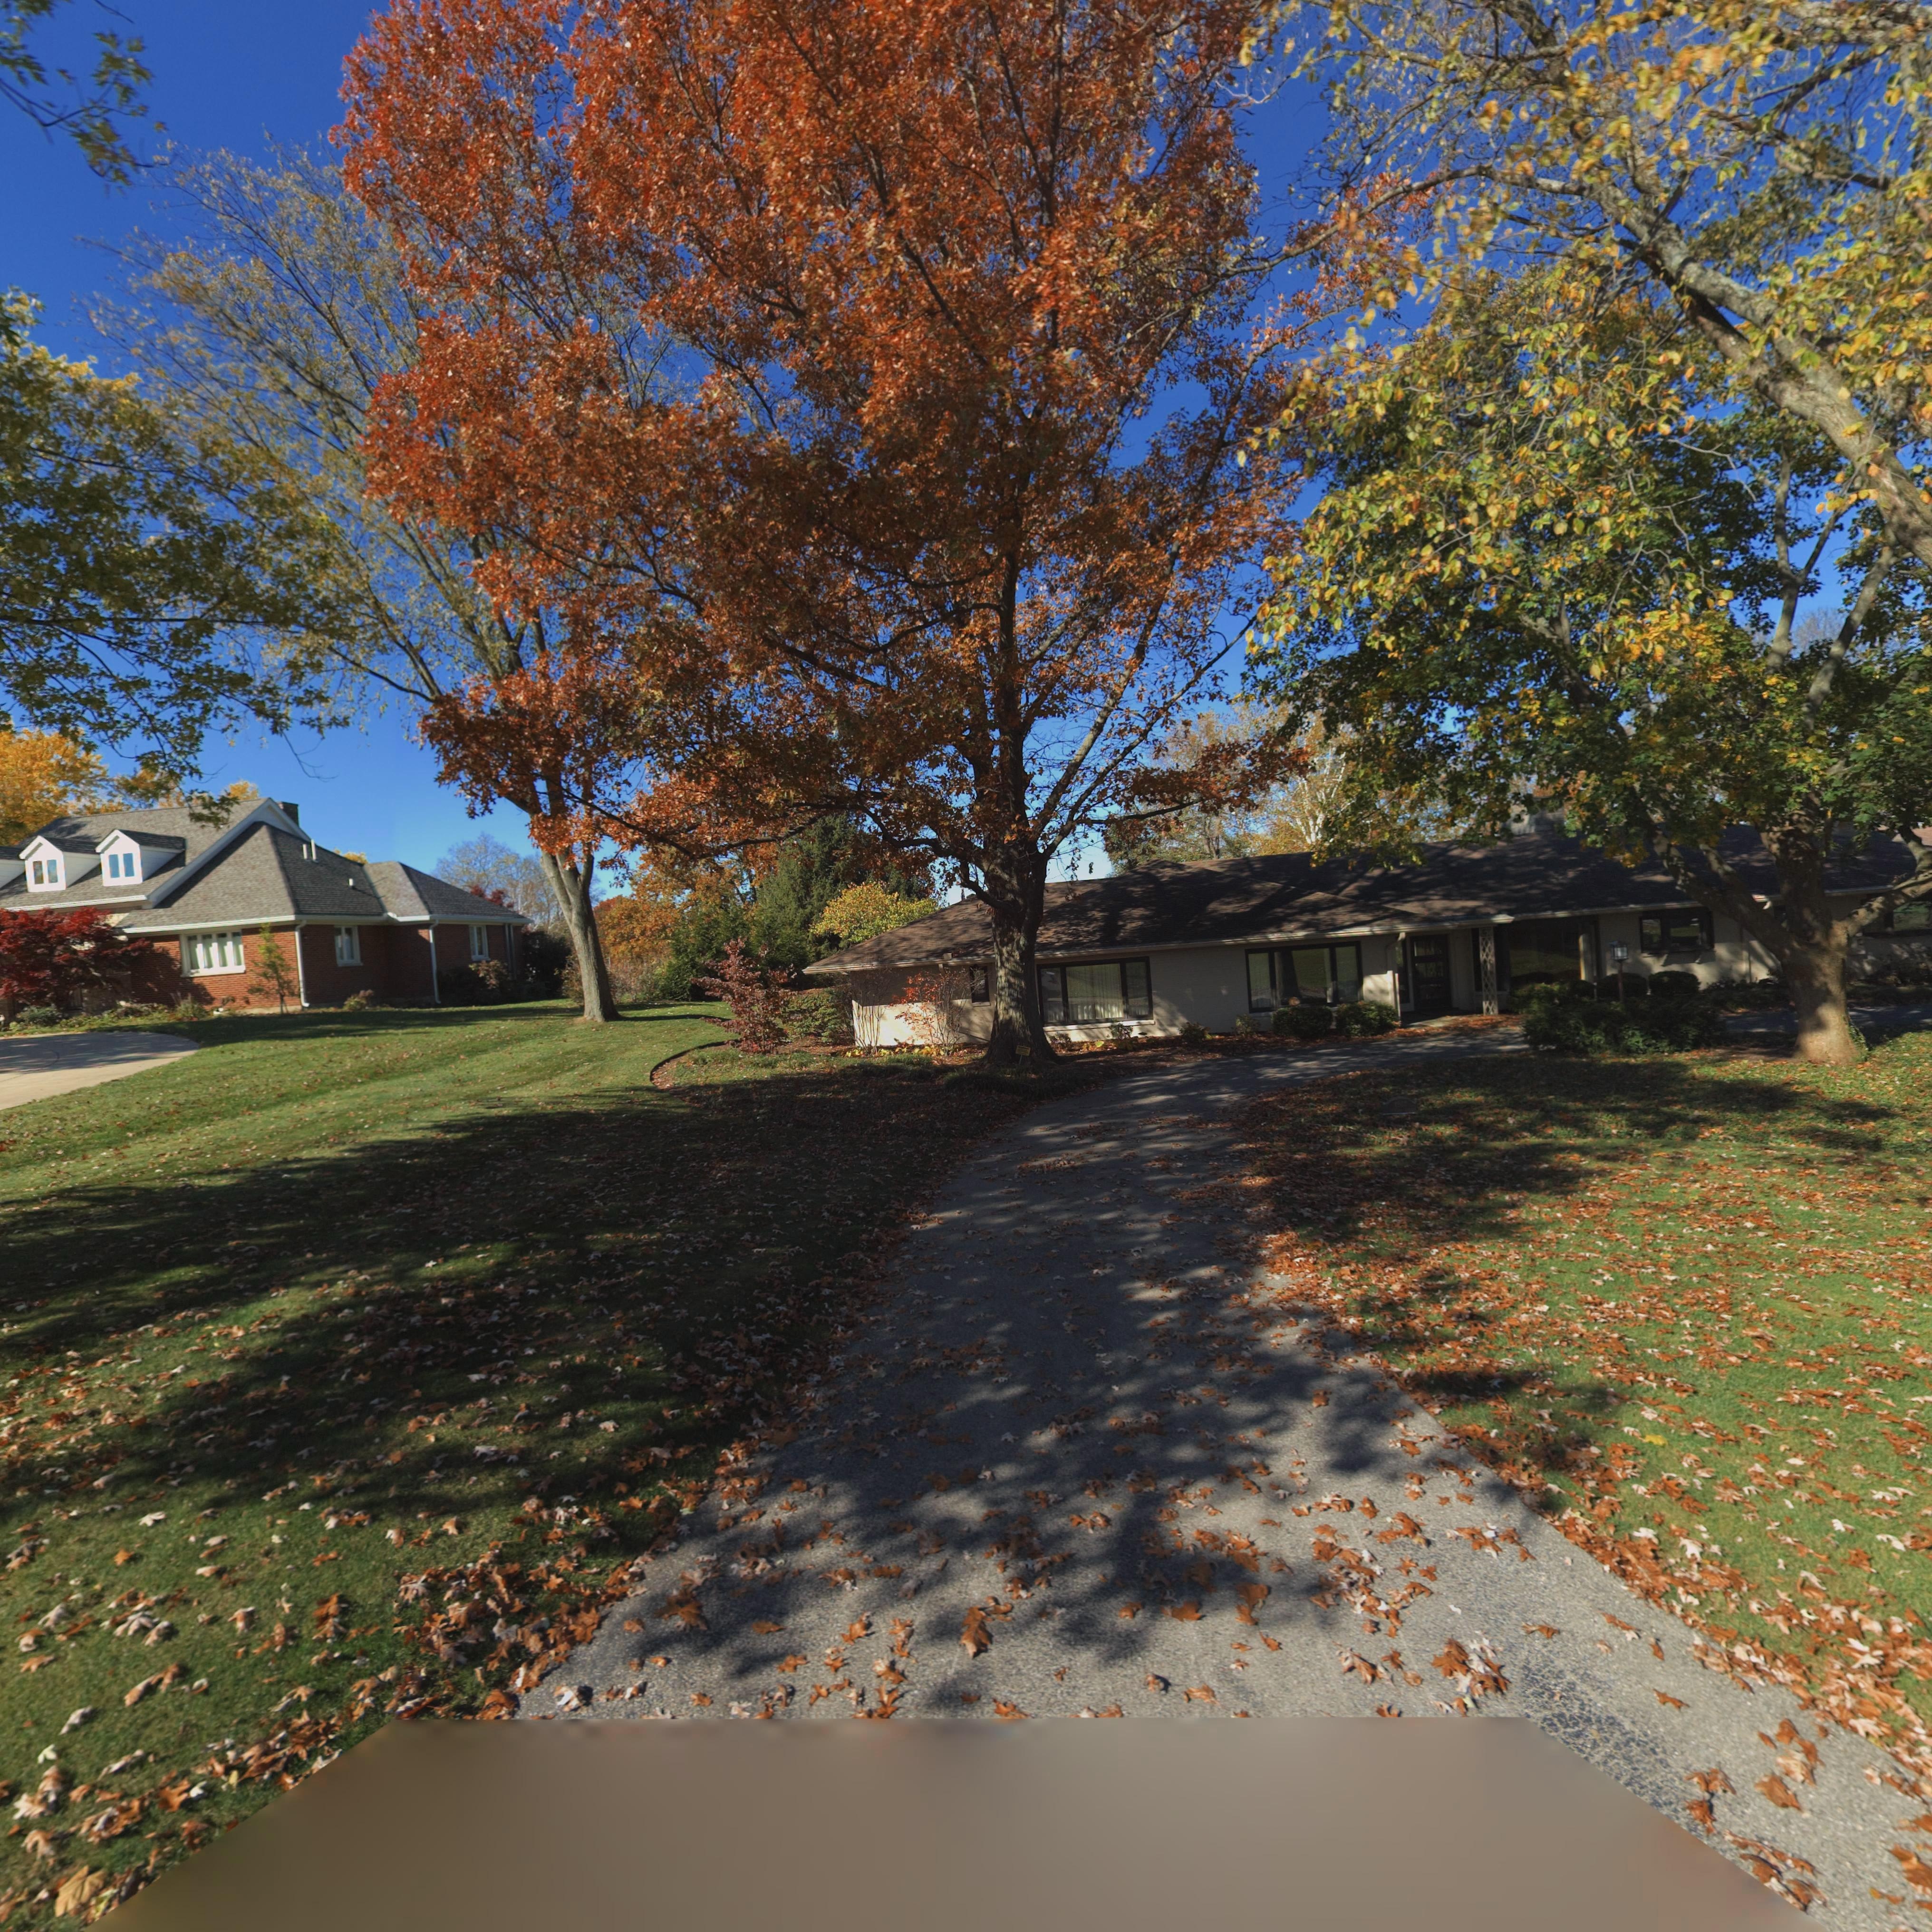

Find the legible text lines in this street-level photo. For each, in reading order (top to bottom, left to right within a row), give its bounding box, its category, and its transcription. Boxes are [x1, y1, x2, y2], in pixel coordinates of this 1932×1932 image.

[1391, 1100, 1408, 1109] StreetNumber: 4601